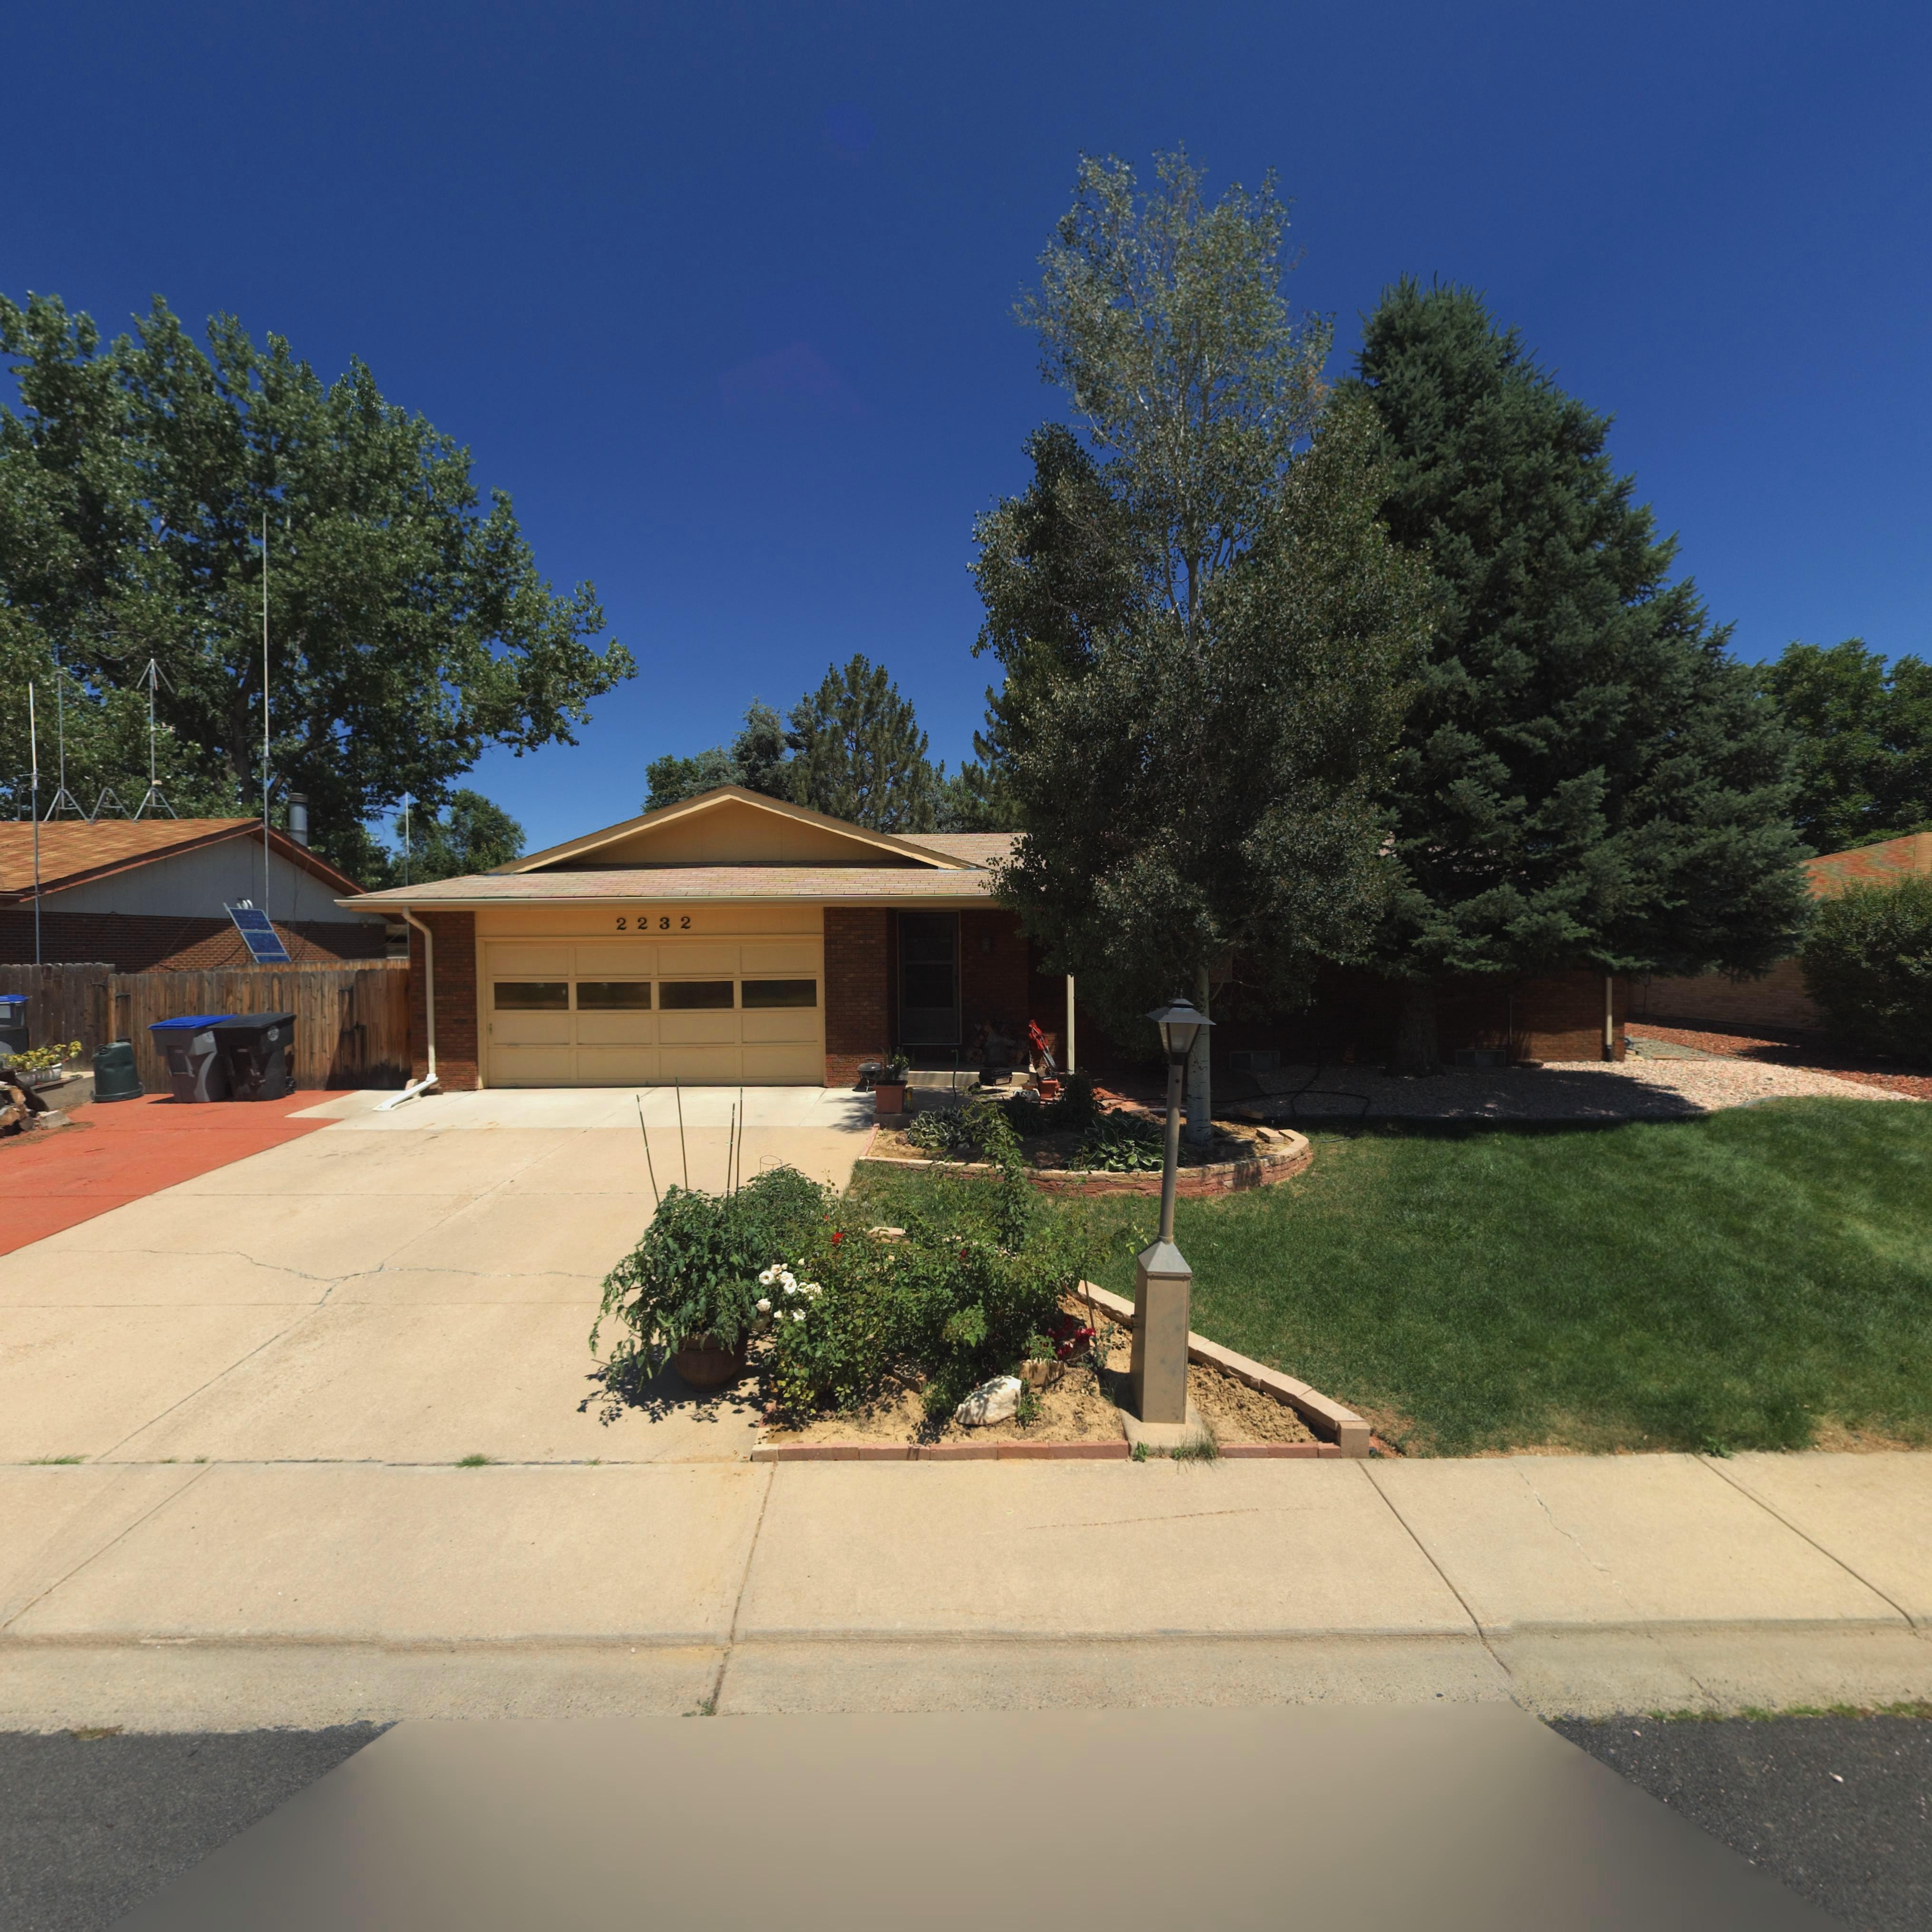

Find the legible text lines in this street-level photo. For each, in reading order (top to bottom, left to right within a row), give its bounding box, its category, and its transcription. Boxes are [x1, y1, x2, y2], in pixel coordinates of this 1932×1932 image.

[616, 914, 691, 931] StreetNumber: 2232